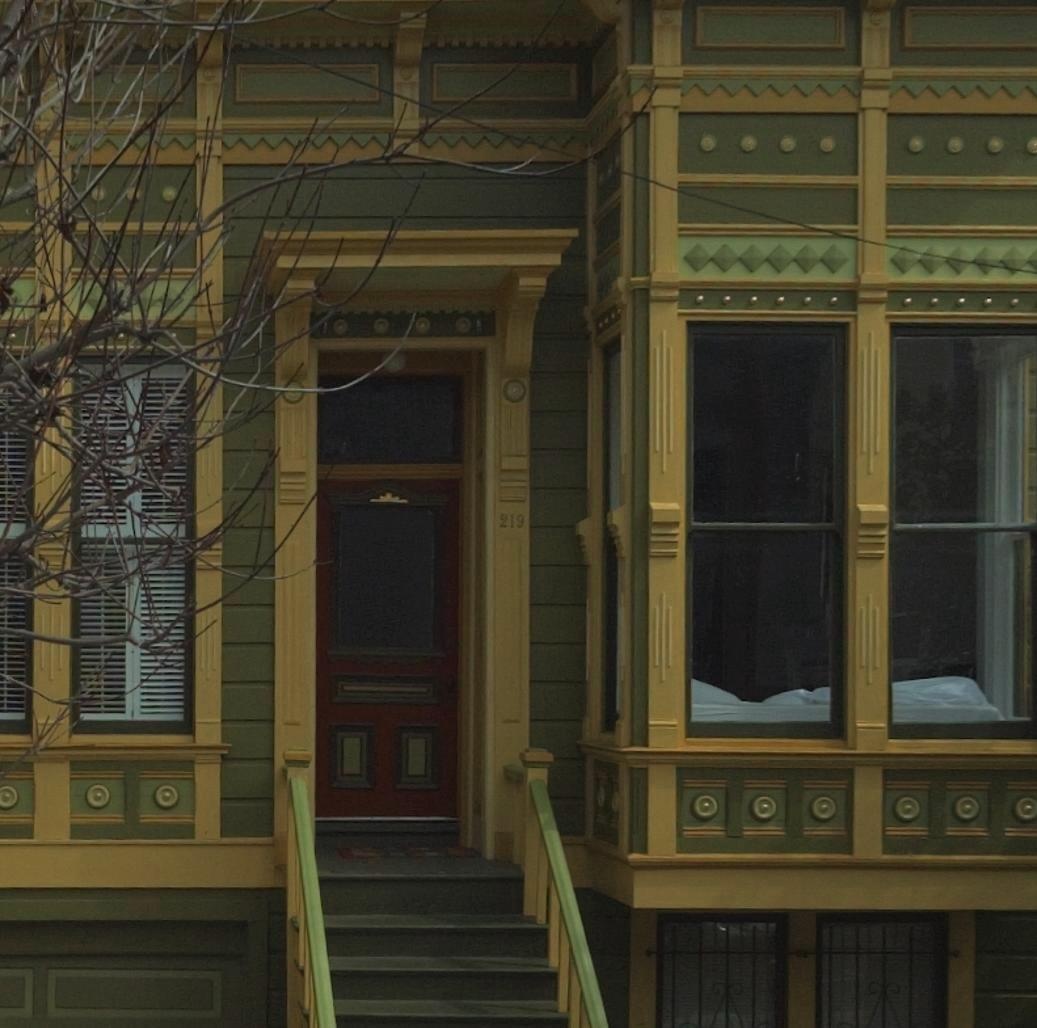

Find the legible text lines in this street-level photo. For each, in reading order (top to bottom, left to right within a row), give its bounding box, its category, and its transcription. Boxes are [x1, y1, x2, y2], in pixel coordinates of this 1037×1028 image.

[500, 512, 526, 528] StreetNumber: 219